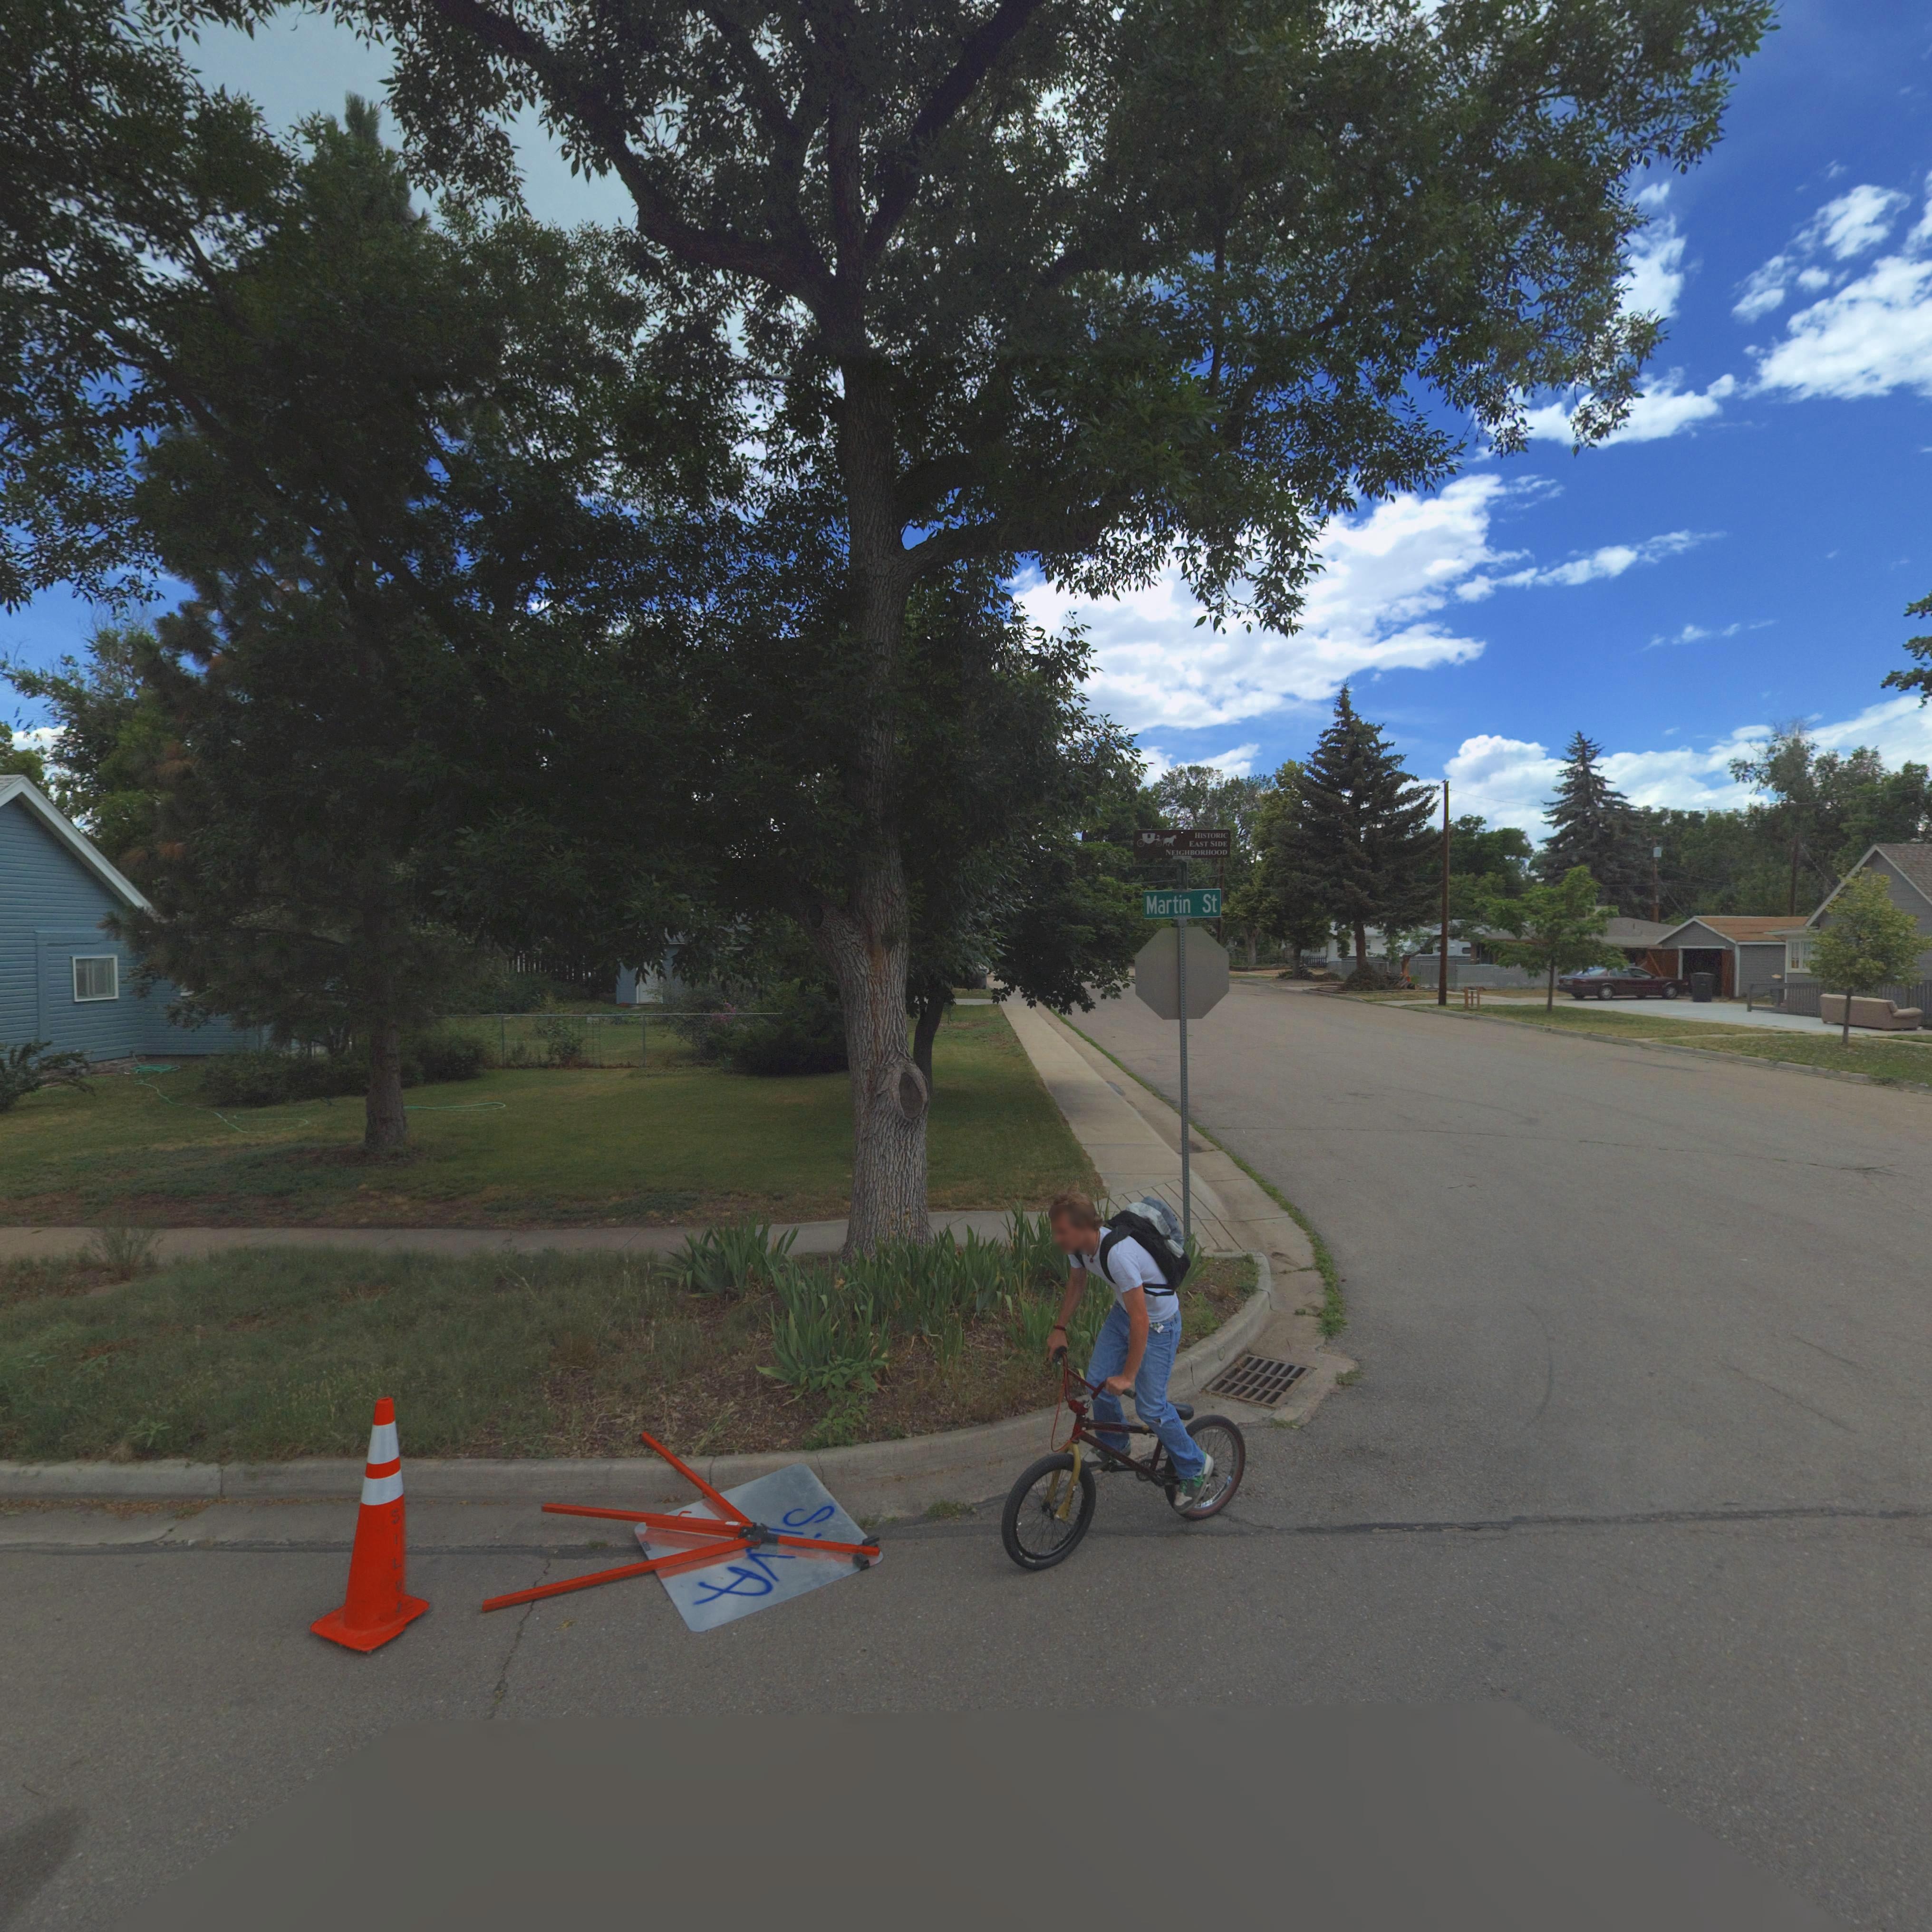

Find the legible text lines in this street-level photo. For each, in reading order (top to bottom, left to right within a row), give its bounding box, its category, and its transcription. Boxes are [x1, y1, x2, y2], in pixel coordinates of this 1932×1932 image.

[1146, 894, 1217, 915] StreetName: Martin St